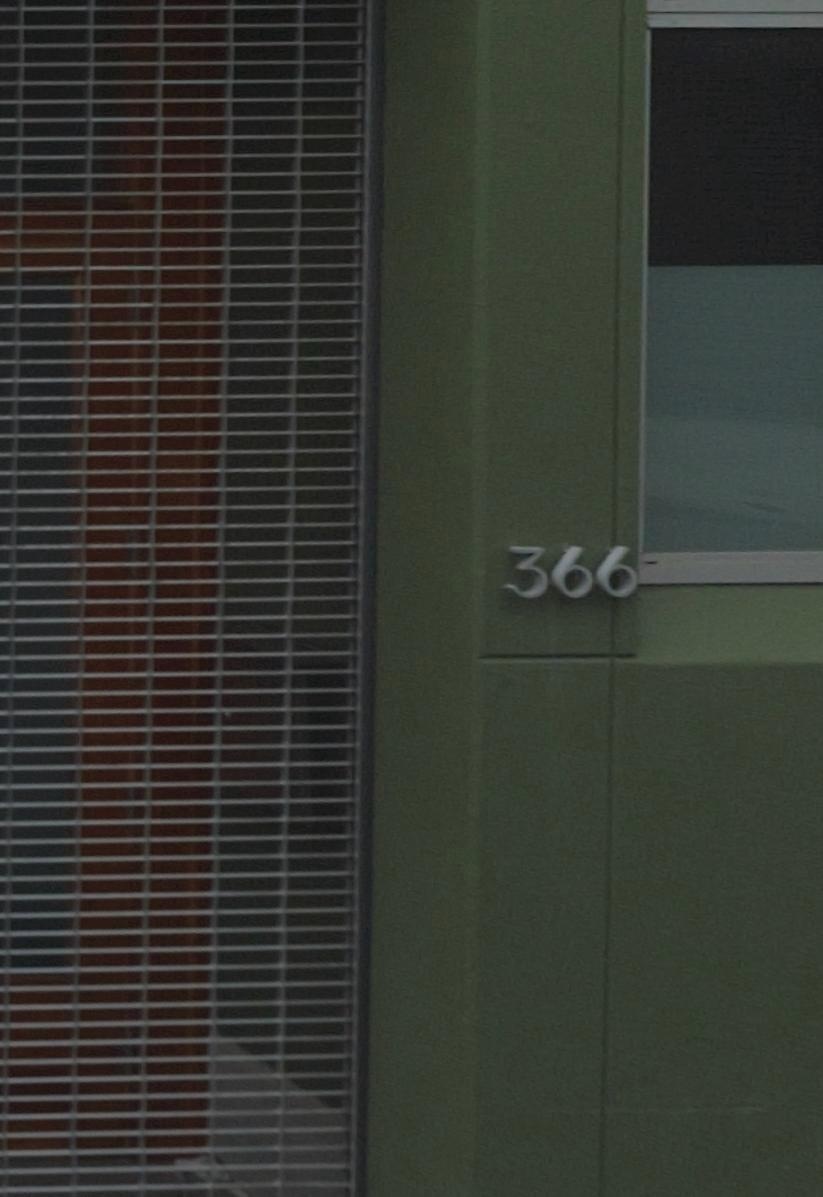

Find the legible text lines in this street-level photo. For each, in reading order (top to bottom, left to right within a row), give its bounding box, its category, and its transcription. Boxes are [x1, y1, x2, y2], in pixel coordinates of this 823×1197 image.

[501, 544, 640, 603] StreetNumber: 366